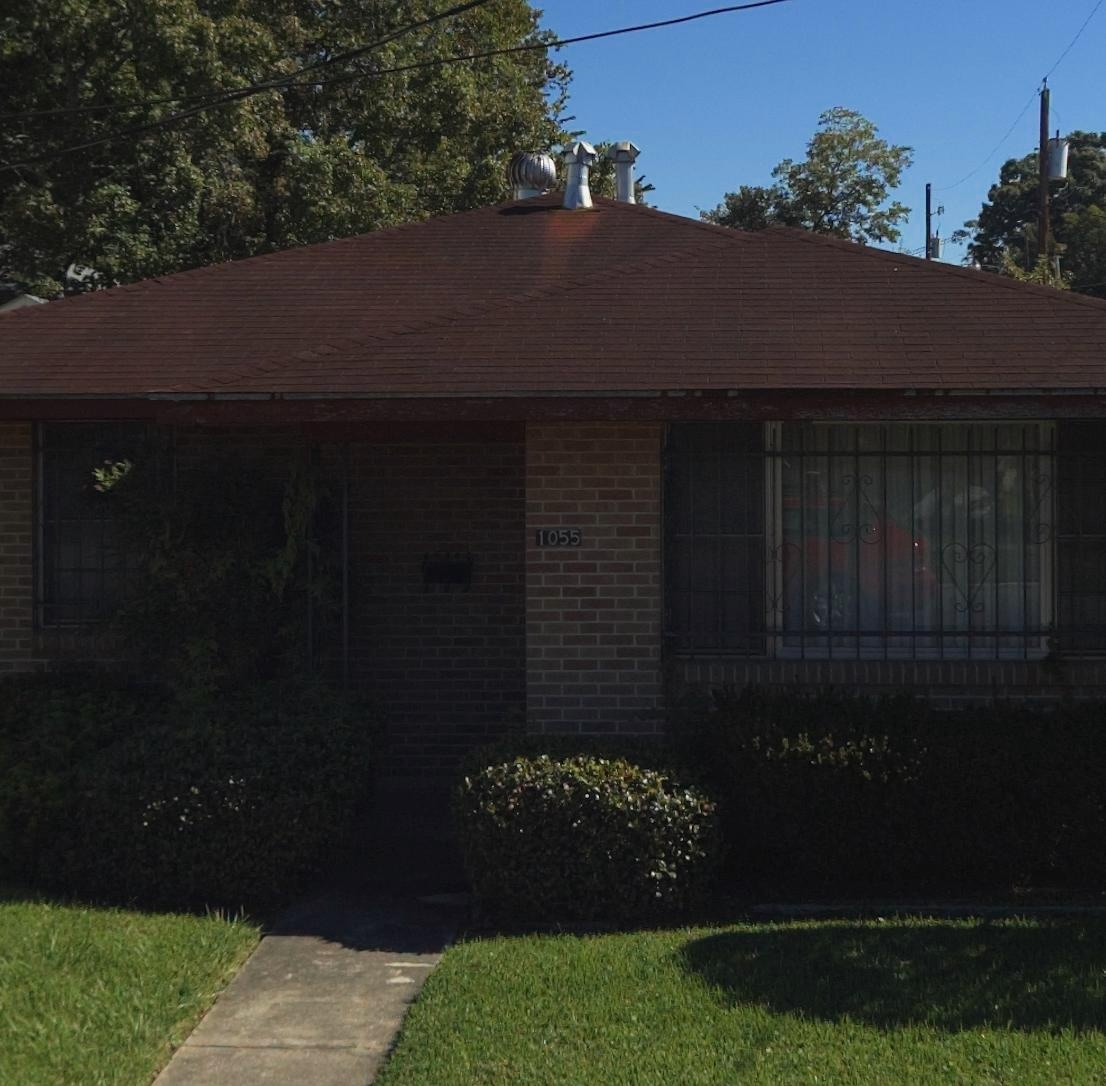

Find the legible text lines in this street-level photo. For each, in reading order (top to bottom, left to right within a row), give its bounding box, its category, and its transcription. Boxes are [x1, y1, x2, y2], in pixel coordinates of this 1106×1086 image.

[537, 527, 582, 548] StreetNumber: 1055